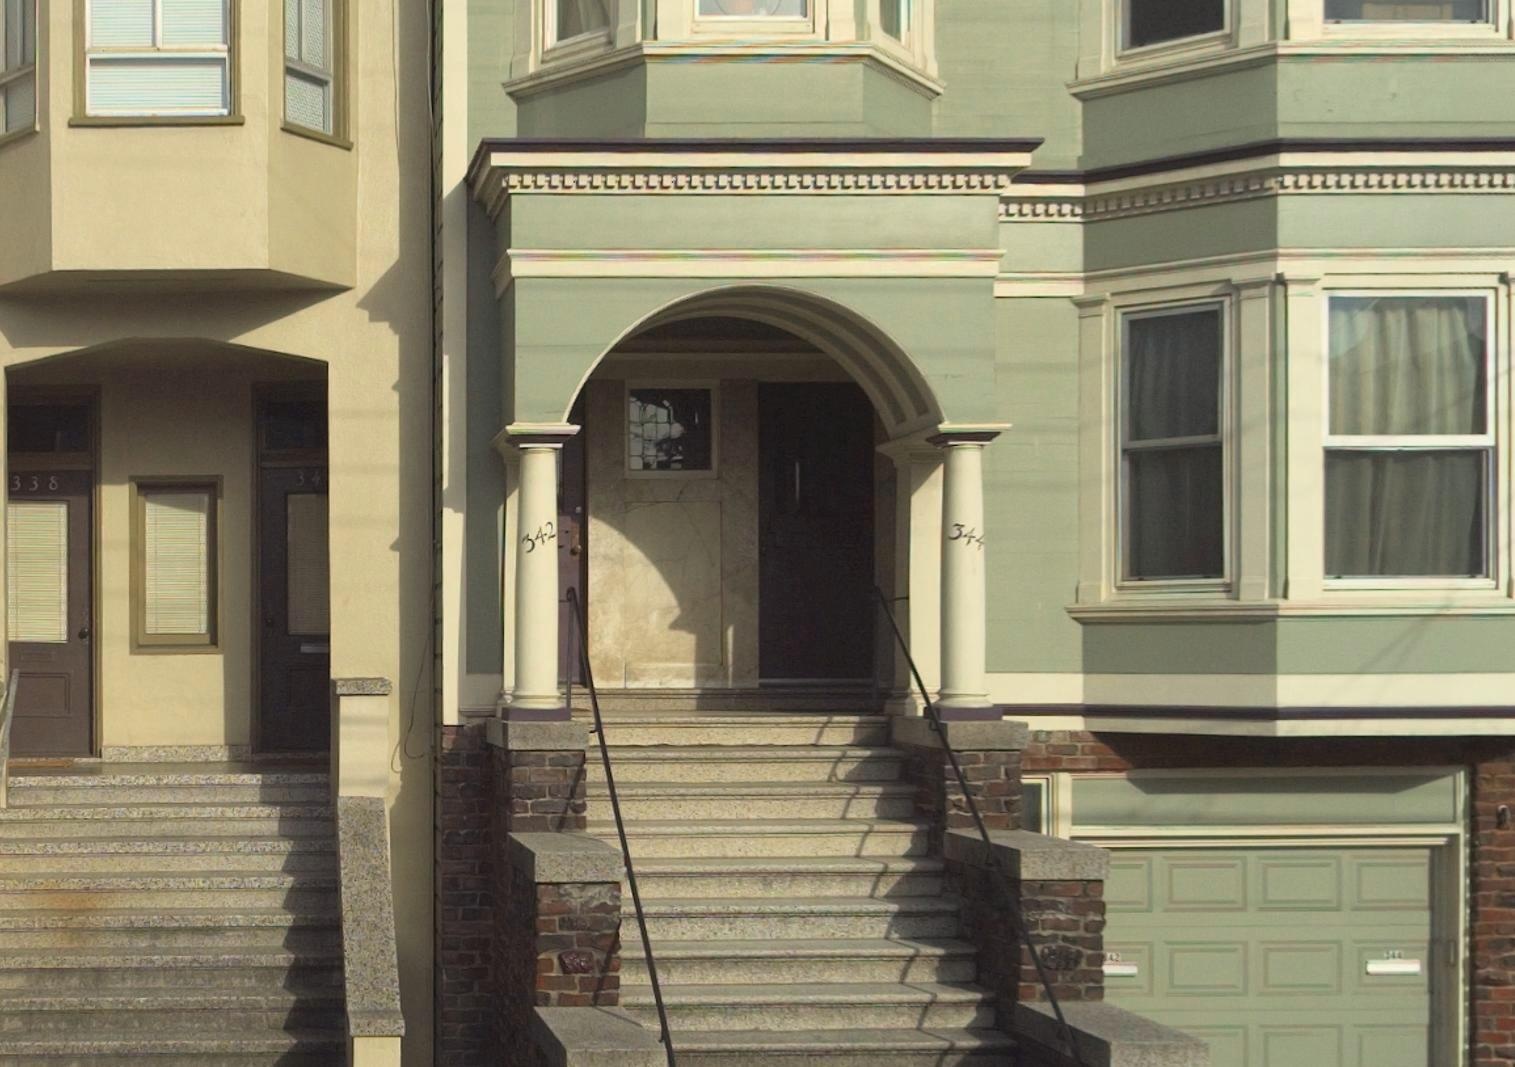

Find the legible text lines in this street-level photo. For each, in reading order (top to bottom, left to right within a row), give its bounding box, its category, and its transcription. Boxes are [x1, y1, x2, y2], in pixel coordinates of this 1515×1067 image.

[9, 474, 62, 492] StreetNumber: 338
[293, 468, 323, 488] StreetNumber: 34
[519, 518, 560, 558] StreetNumber: 342
[943, 517, 987, 554] StreetNumber: 344
[1107, 952, 1122, 963] StreetNumber: 42
[1384, 949, 1405, 961] StreetNumber: 344